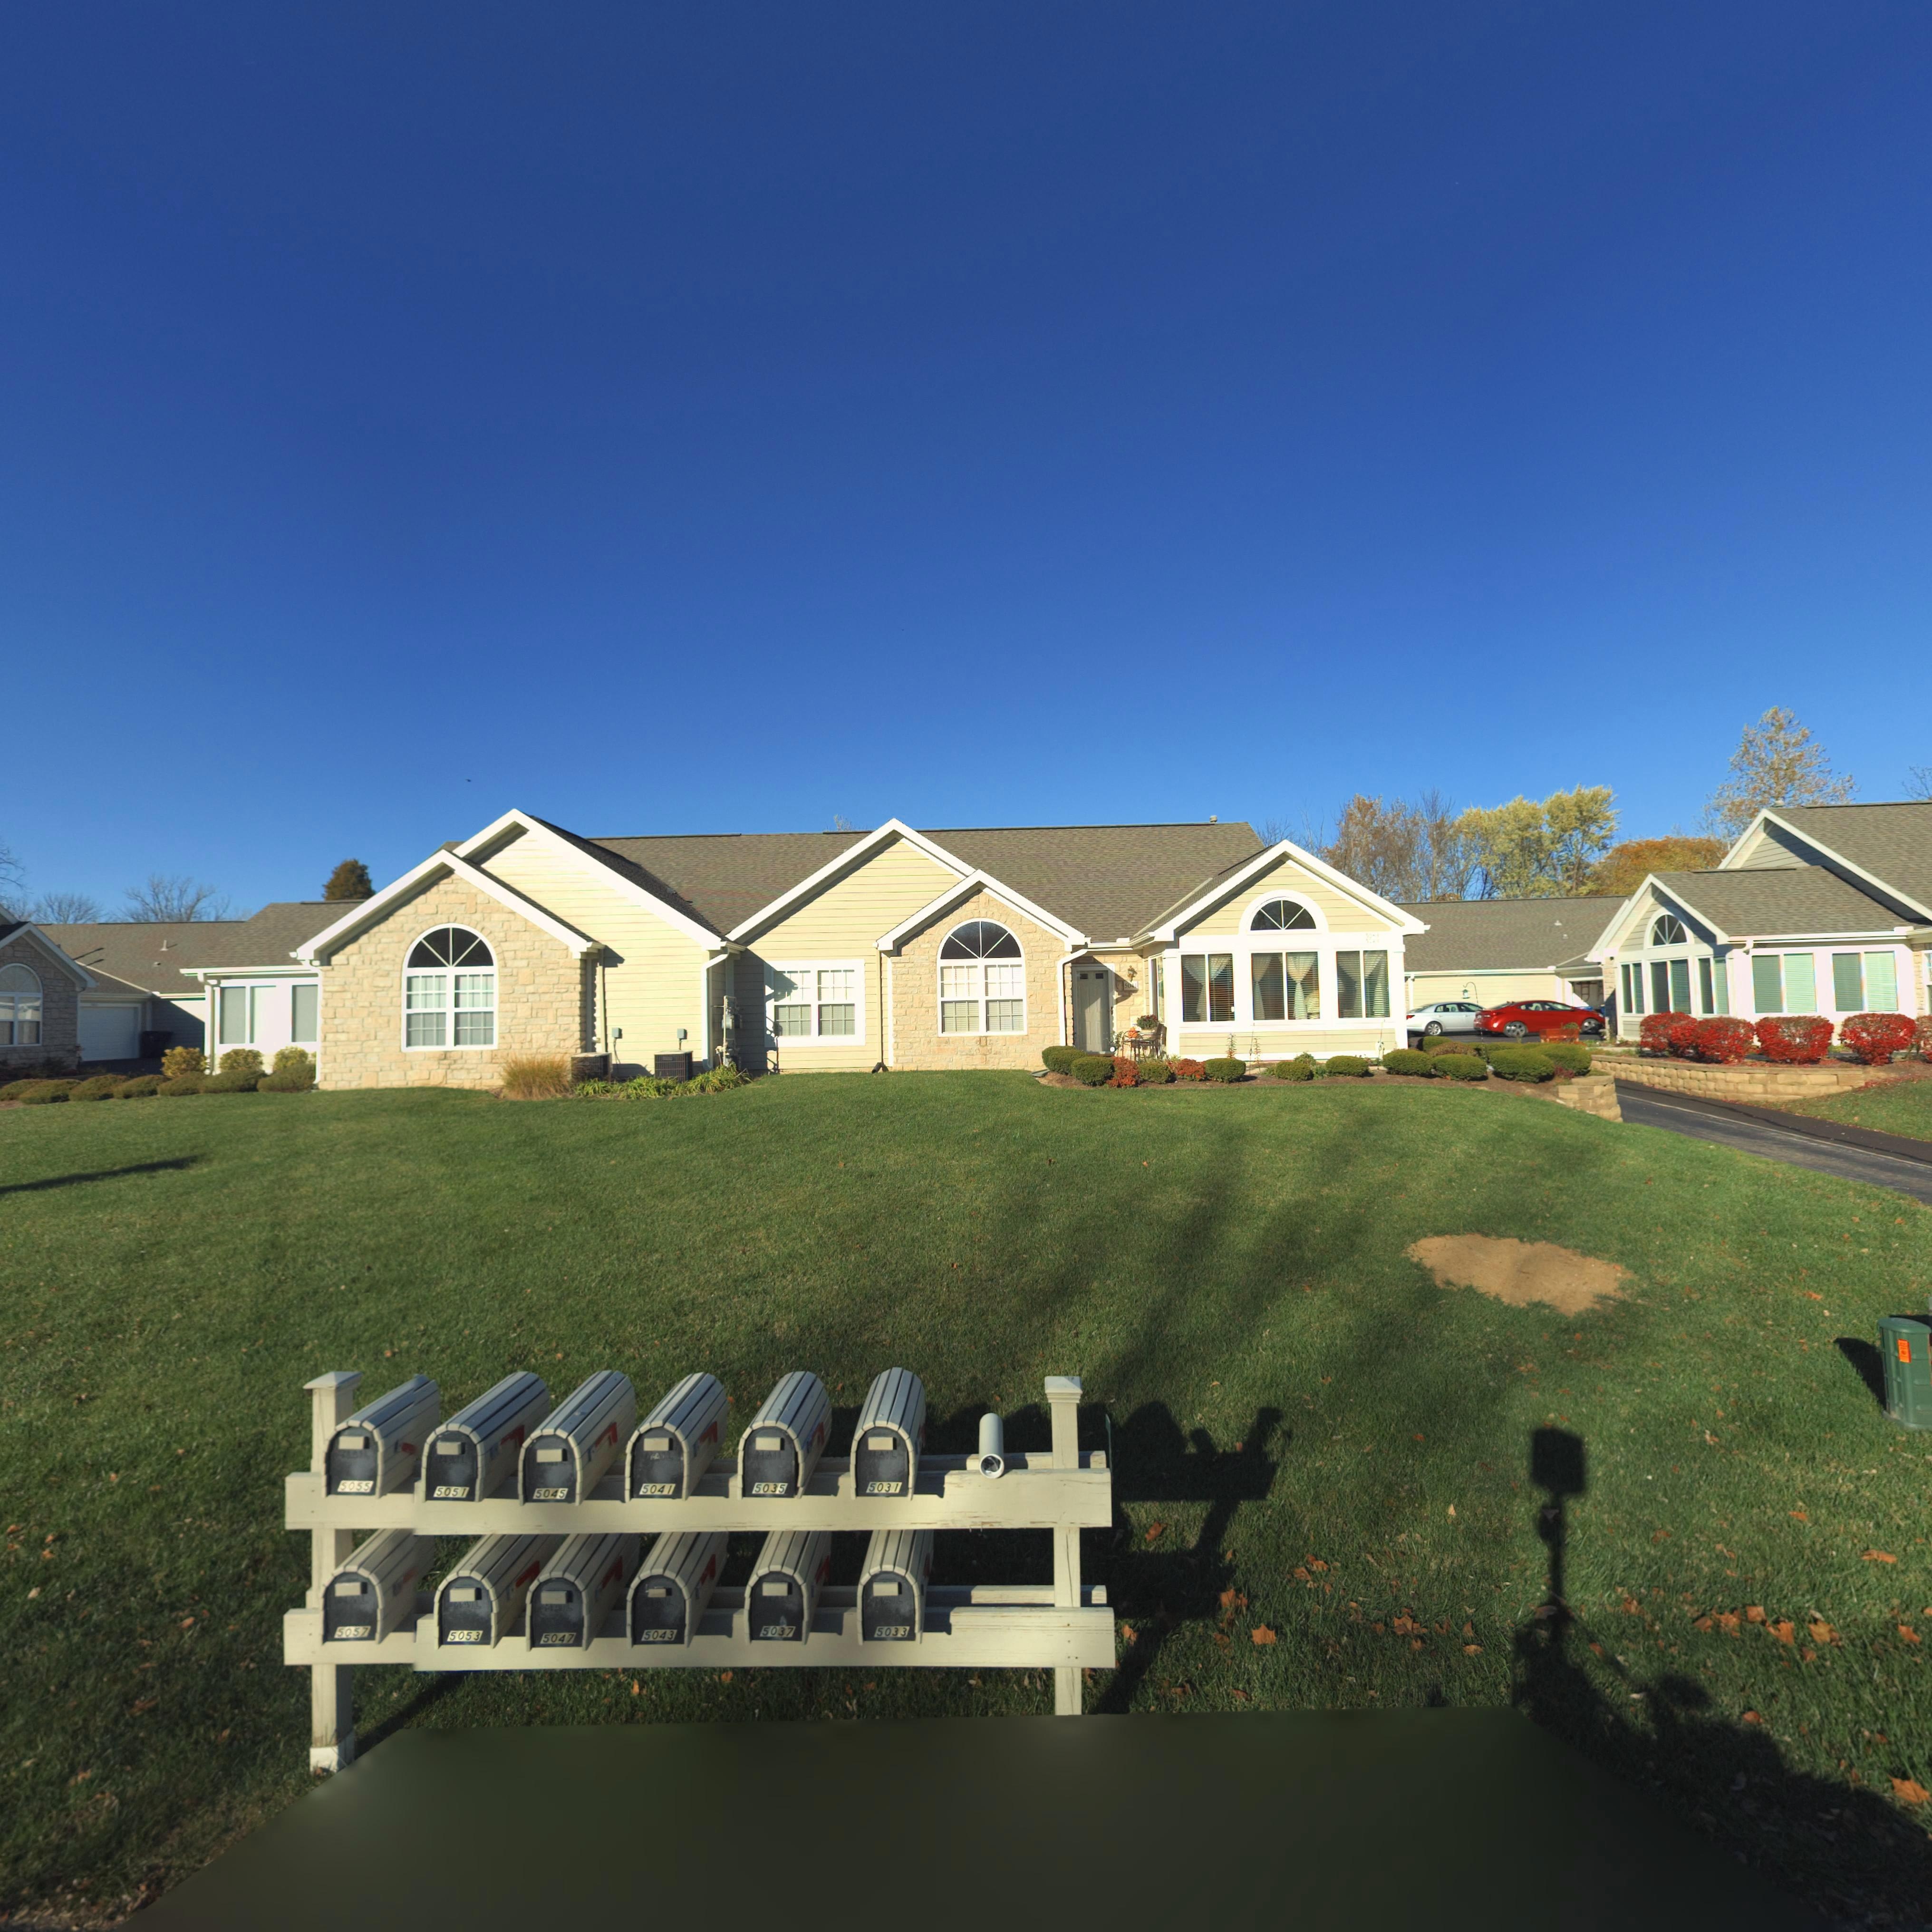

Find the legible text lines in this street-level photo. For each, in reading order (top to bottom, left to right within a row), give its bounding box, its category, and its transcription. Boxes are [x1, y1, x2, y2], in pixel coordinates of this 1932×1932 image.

[1124, 982, 1137, 989] StreetNumber: 5041
[338, 1480, 371, 1493] StreetNumber: 5055
[435, 1486, 469, 1498] StreetNumber: 5051
[534, 1488, 567, 1500] StreetNumber: 5045
[640, 1483, 675, 1496] StreetNumber: 5041
[753, 1483, 787, 1494] StreetNumber: 5035
[866, 1481, 901, 1494] StreetNumber: 5031
[335, 1626, 370, 1639] StreetNumber: 5057
[448, 1630, 481, 1642] StreetNumber: 5053
[541, 1632, 576, 1644] StreetNumber: 5047
[643, 1629, 676, 1641] StreetNumber: 5043
[760, 1626, 796, 1638] StreetNumber: 5037
[876, 1626, 908, 1638] StreetNumber: 5033